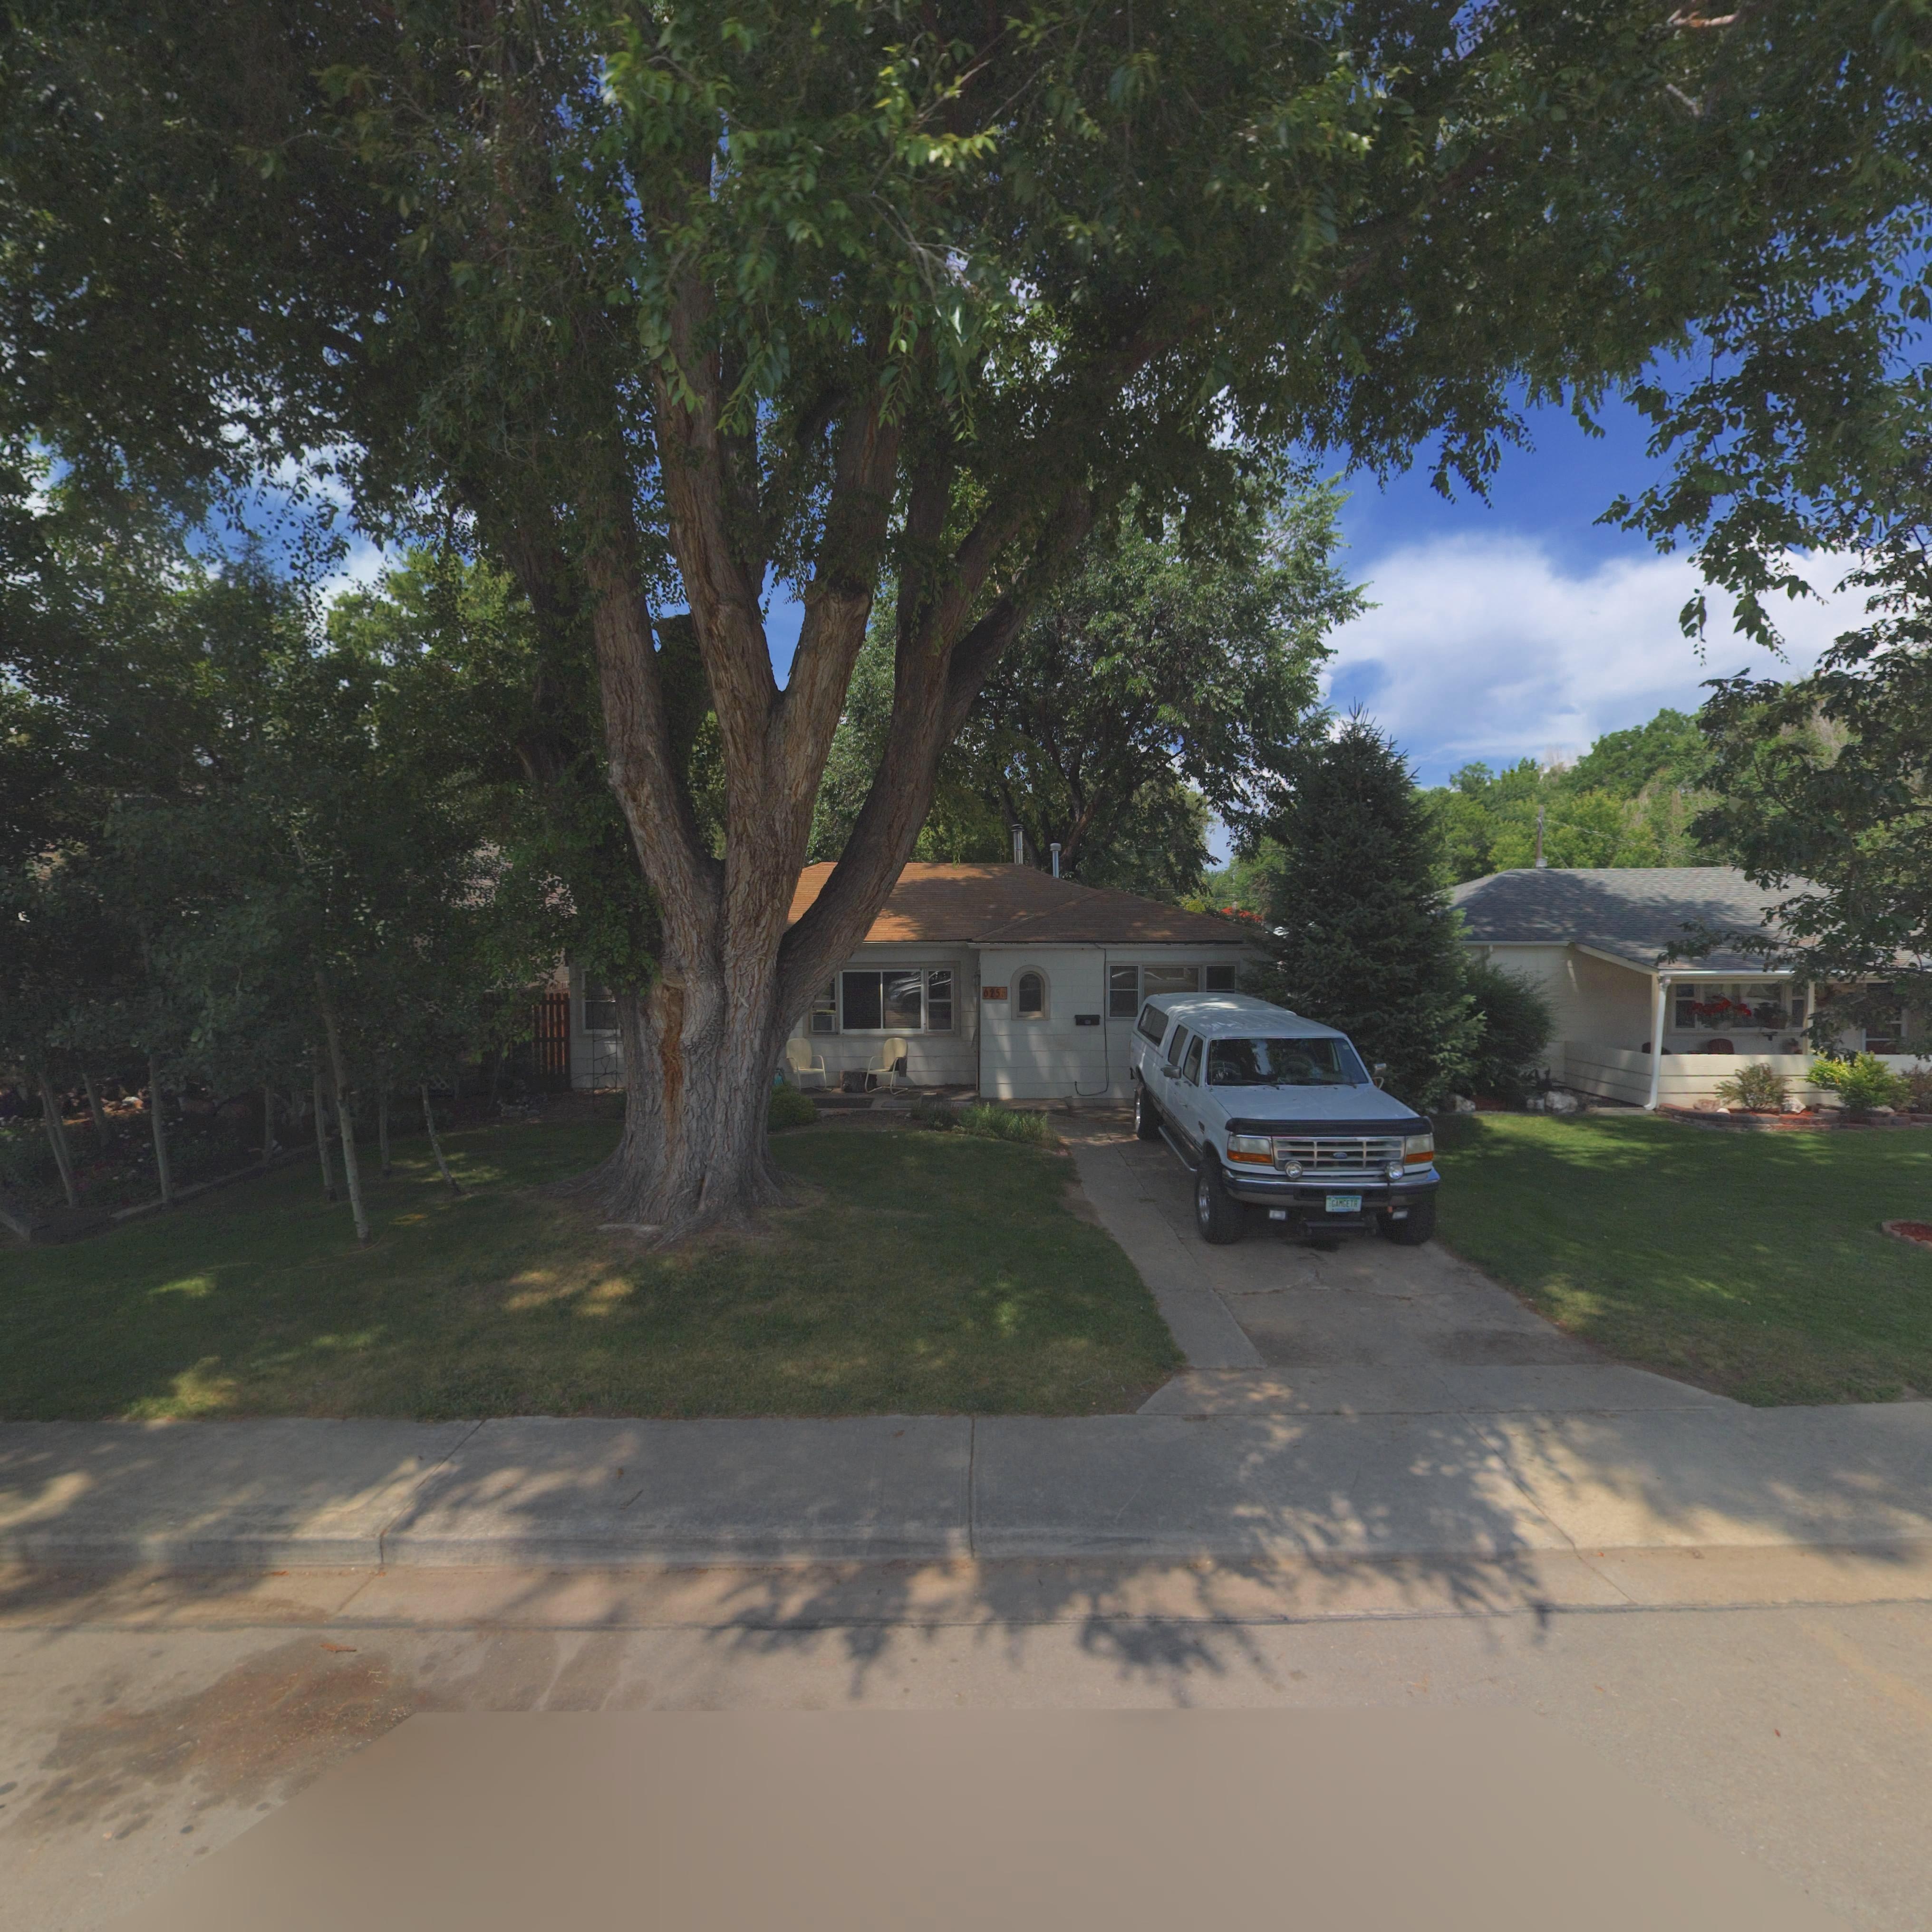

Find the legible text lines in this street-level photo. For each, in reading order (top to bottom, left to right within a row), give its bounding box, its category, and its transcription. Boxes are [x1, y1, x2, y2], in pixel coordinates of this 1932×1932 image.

[984, 987, 1000, 997] StreetNumber: 625